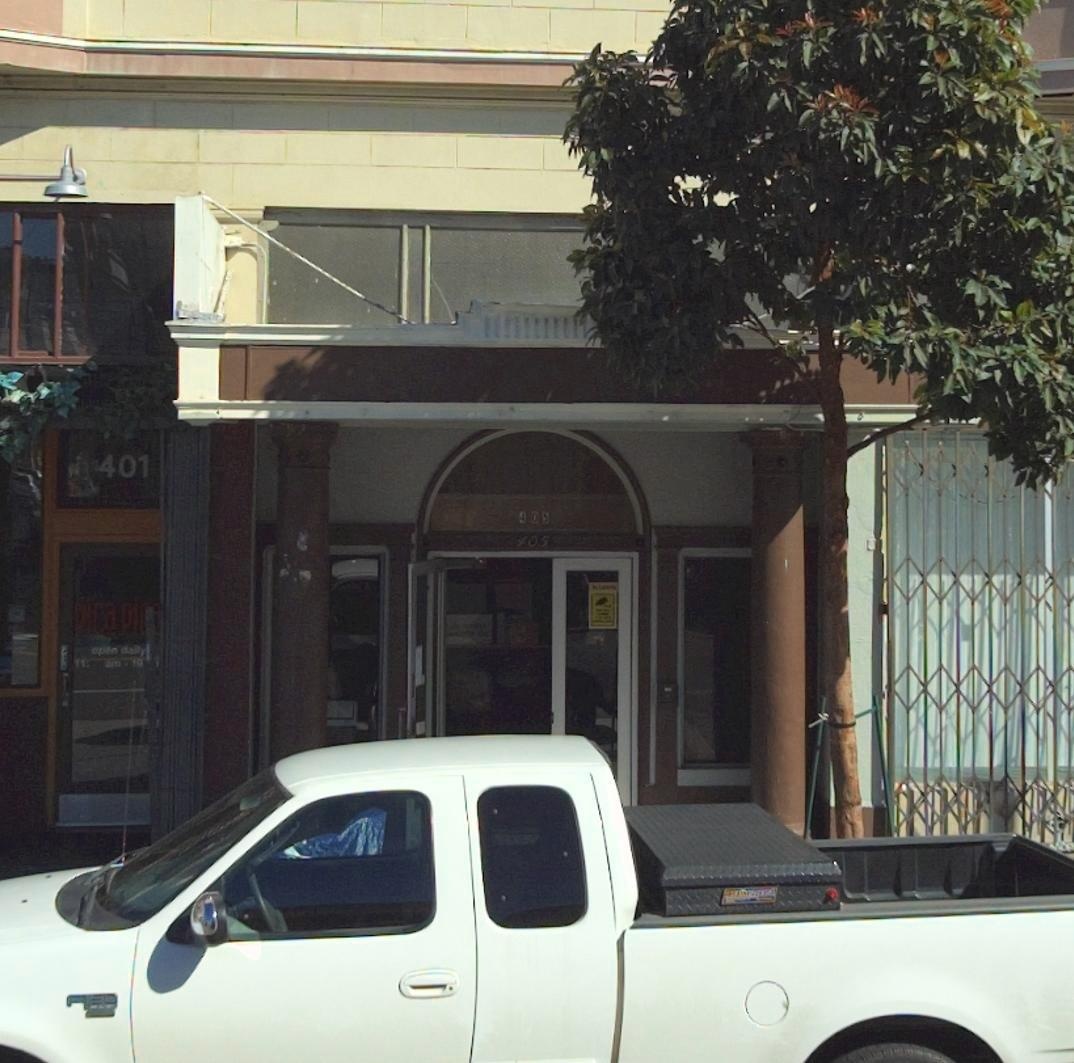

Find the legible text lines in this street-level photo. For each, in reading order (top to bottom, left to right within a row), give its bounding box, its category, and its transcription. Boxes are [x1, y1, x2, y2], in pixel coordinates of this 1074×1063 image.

[96, 452, 149, 479] StreetNumber: 401
[519, 510, 549, 524] StreetNumber: 405
[515, 534, 552, 548] StreetNumber: 405
[90, 644, 147, 658] None: open daily